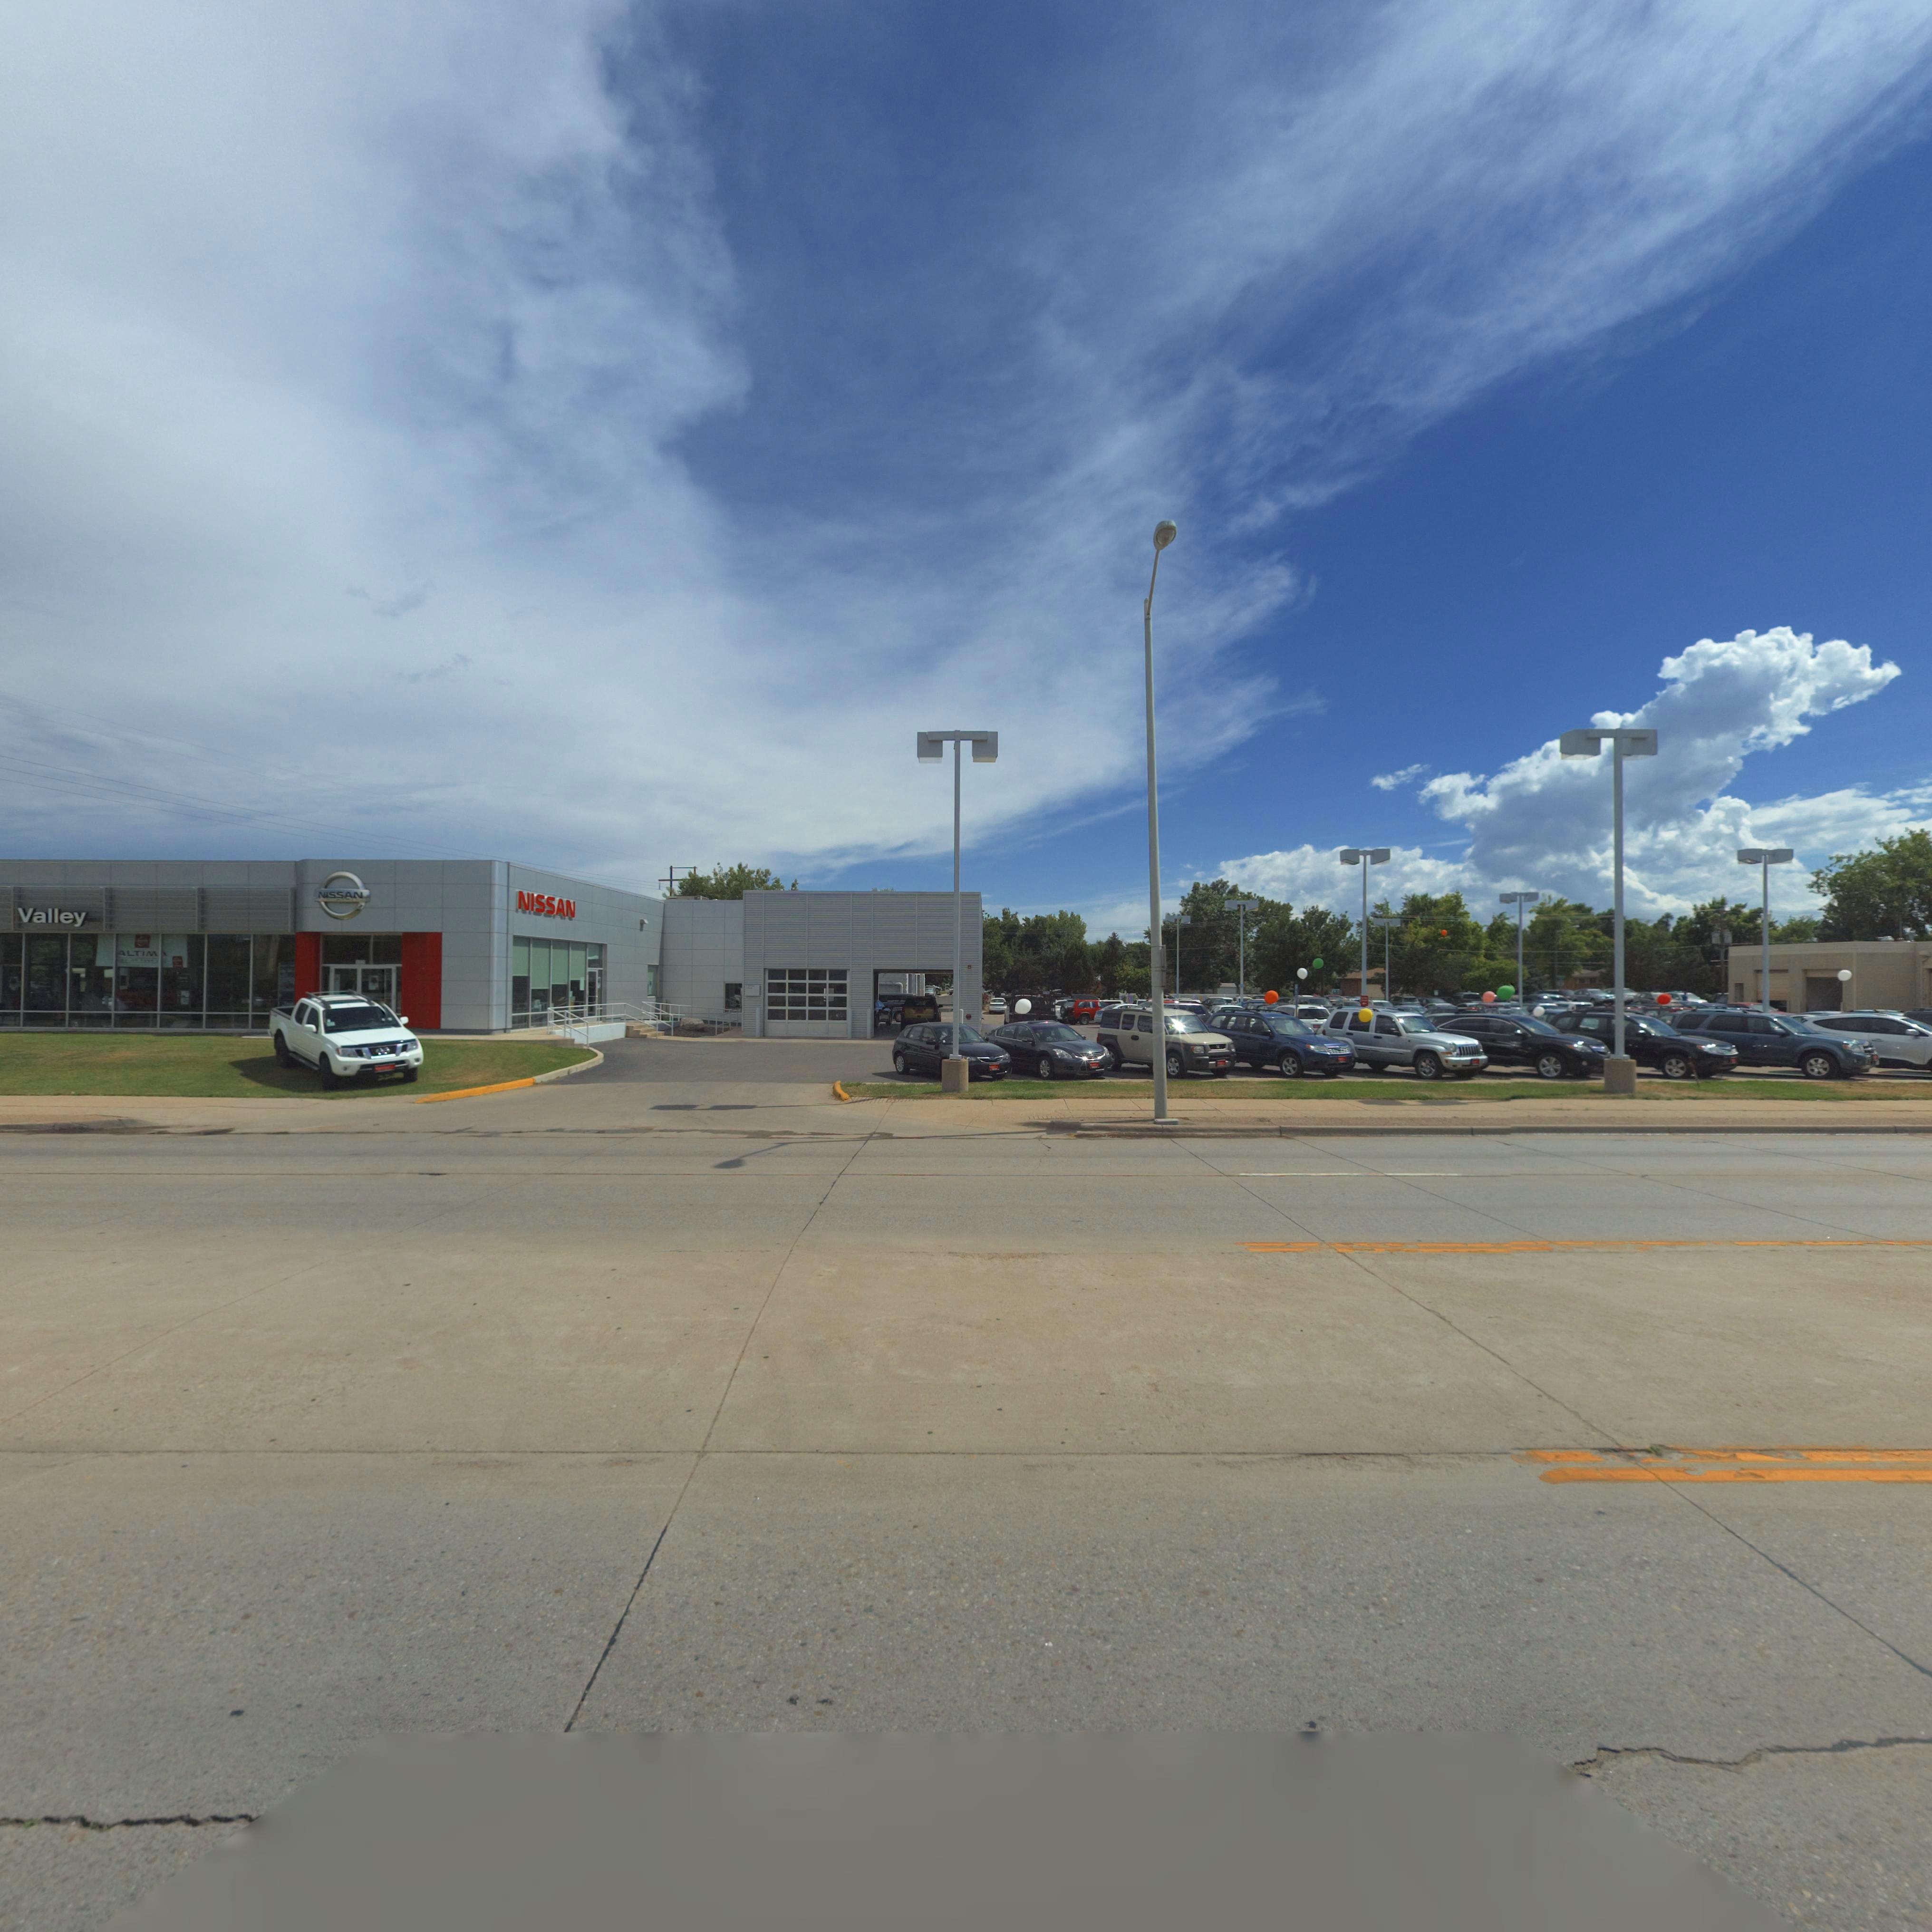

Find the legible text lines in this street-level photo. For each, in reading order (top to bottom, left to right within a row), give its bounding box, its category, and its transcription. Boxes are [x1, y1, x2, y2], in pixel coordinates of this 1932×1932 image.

[318, 891, 363, 899] BusinessName: NISSAN
[516, 889, 576, 918] BusinessName: NISSAN
[16, 907, 88, 927] BusinessName: Valley